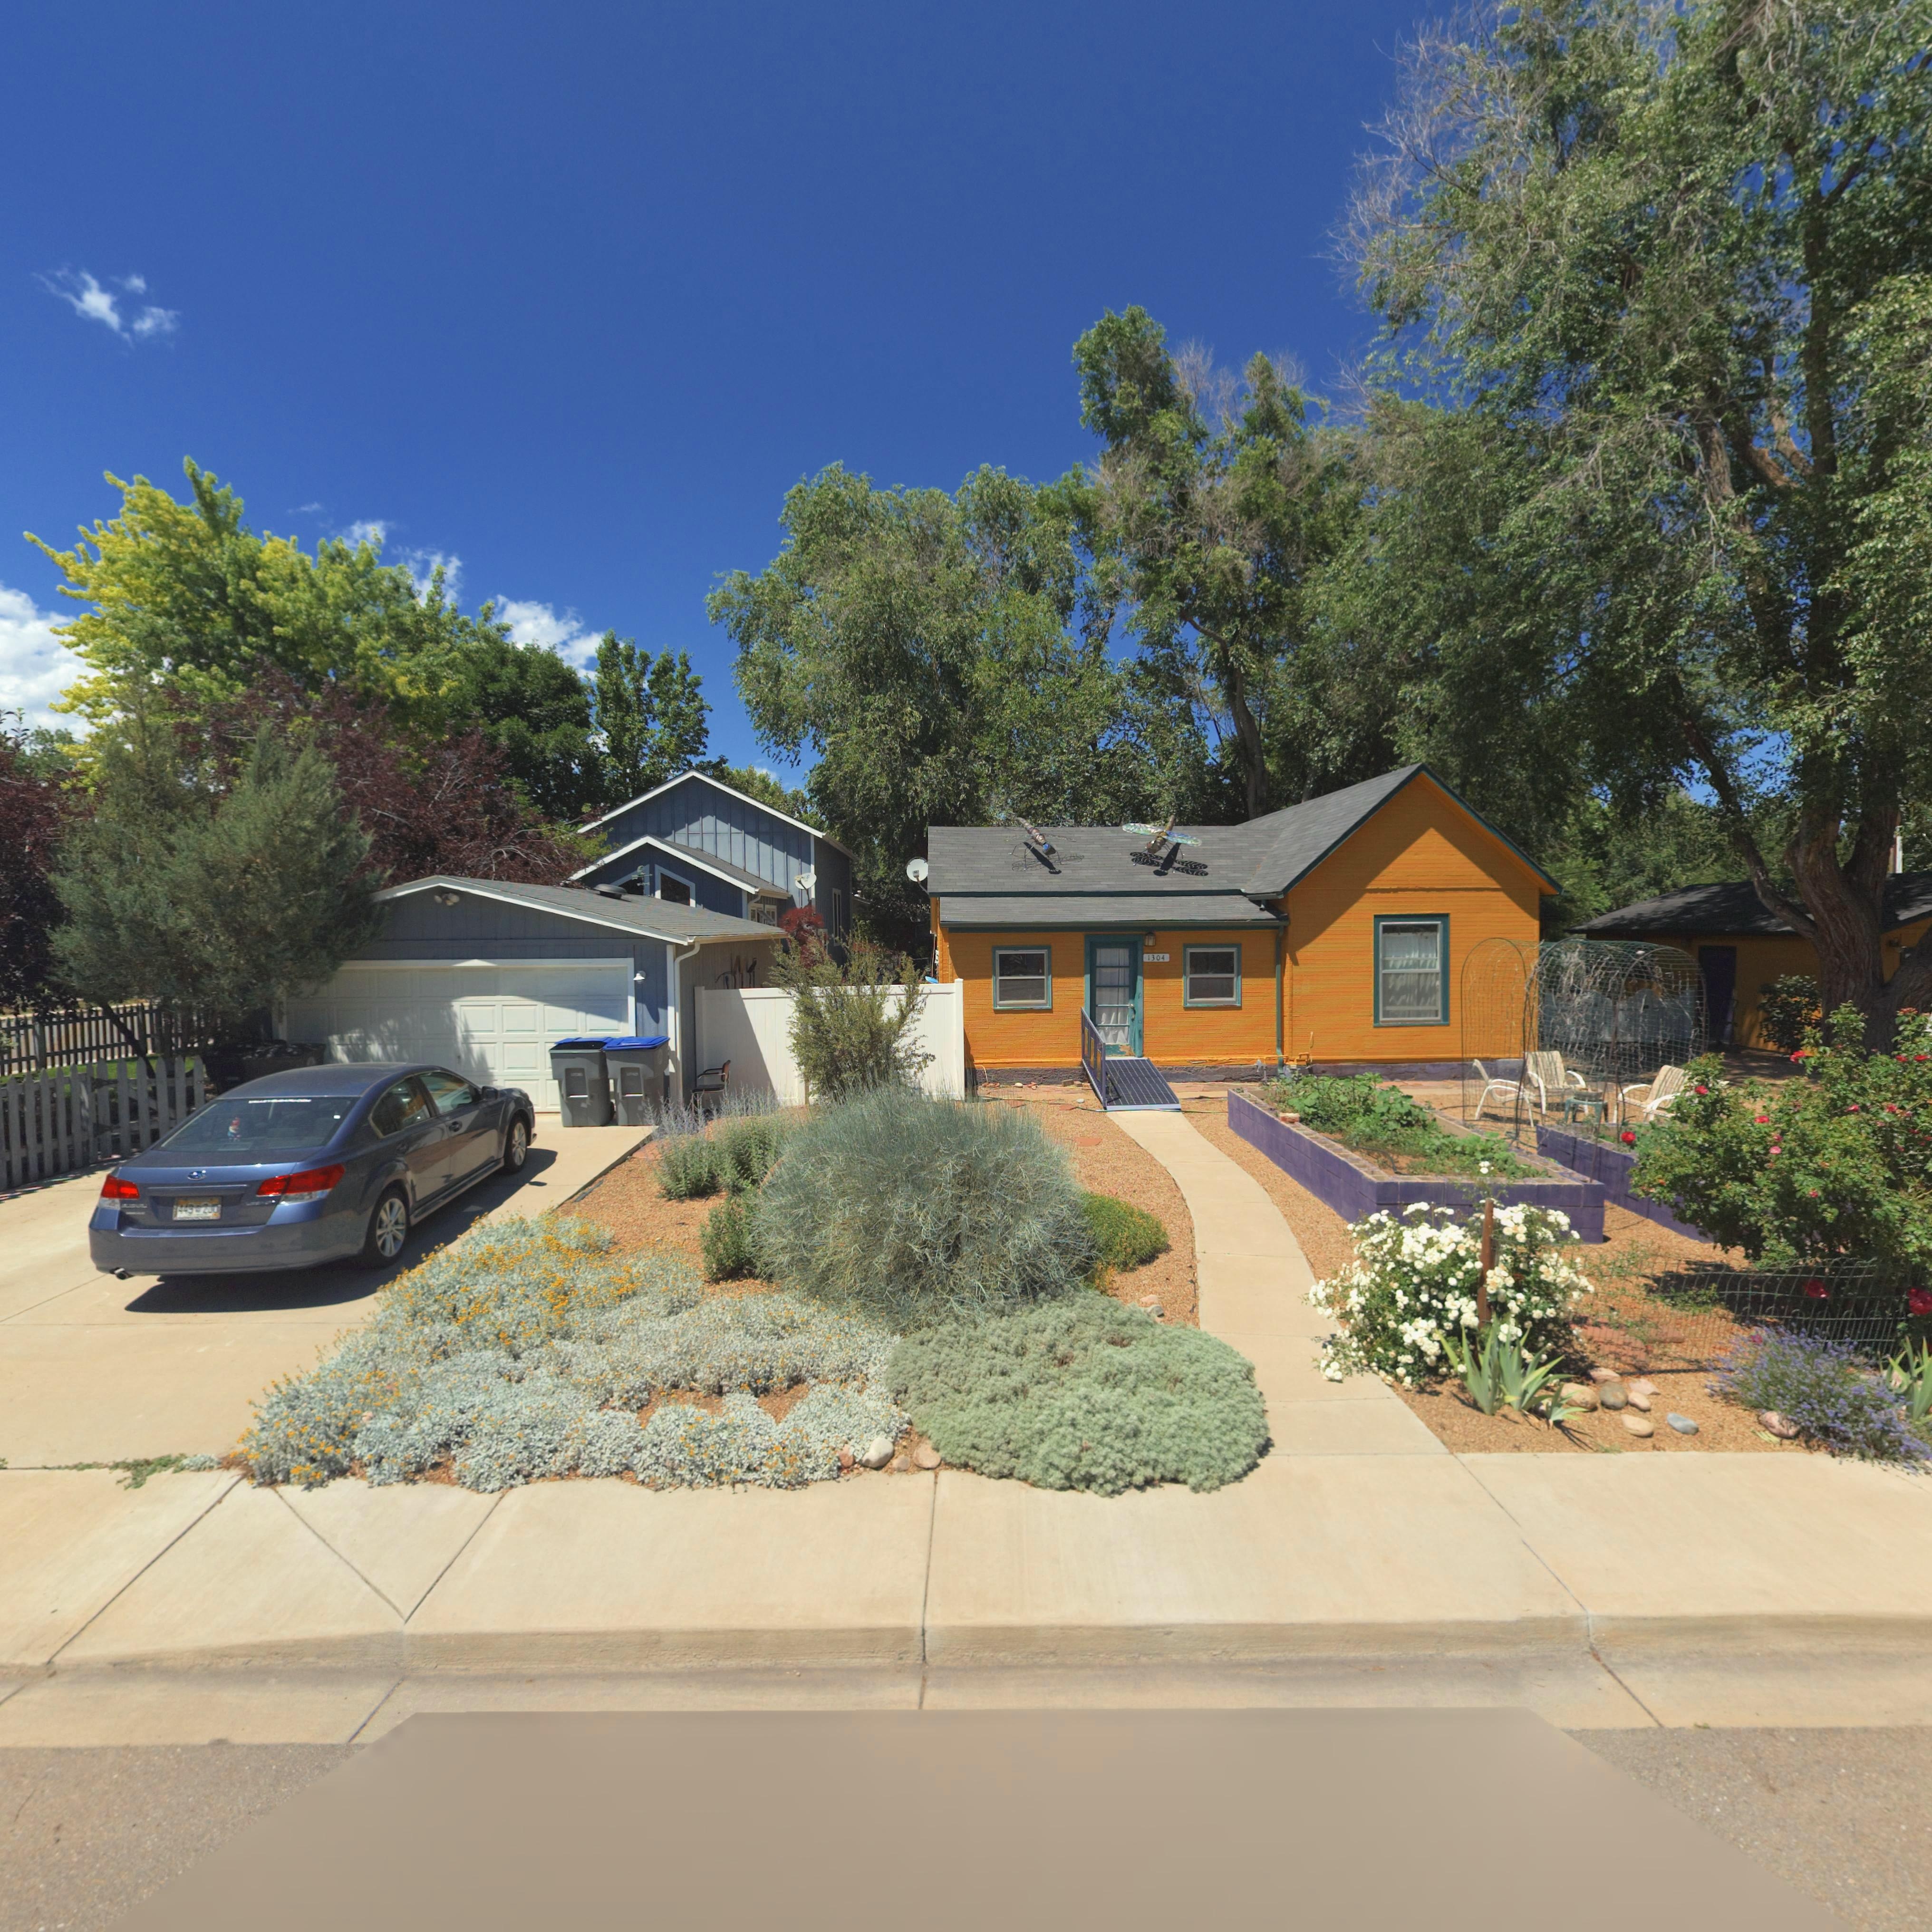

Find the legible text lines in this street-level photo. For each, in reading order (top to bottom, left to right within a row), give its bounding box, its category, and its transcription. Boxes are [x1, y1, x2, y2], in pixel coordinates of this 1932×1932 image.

[1148, 954, 1165, 961] StreetNumber: 1304